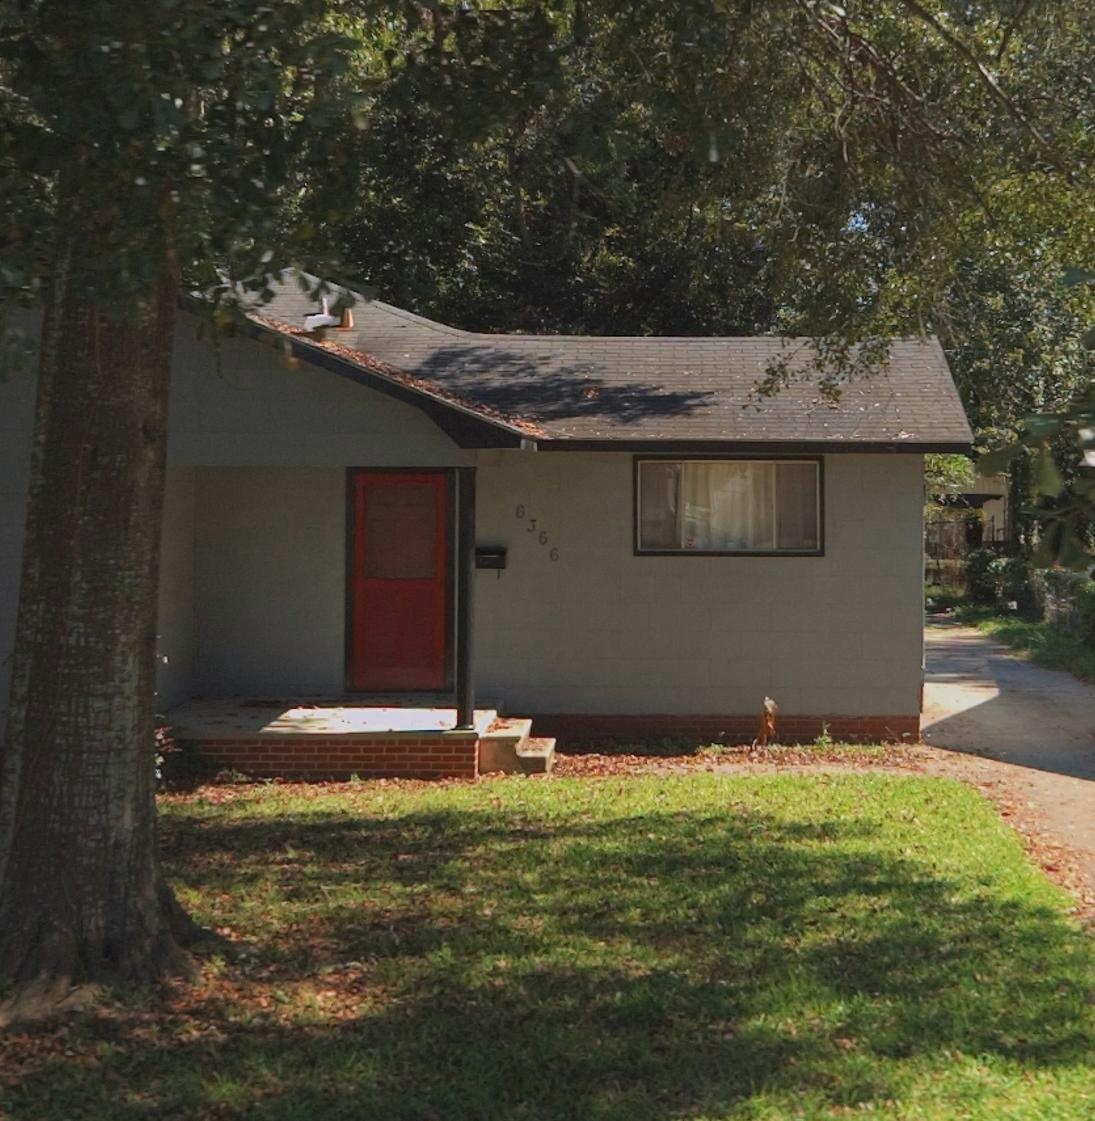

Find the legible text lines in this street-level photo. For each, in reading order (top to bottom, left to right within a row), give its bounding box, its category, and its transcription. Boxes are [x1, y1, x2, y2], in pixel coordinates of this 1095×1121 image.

[515, 503, 560, 563] StreetNumber: 6366